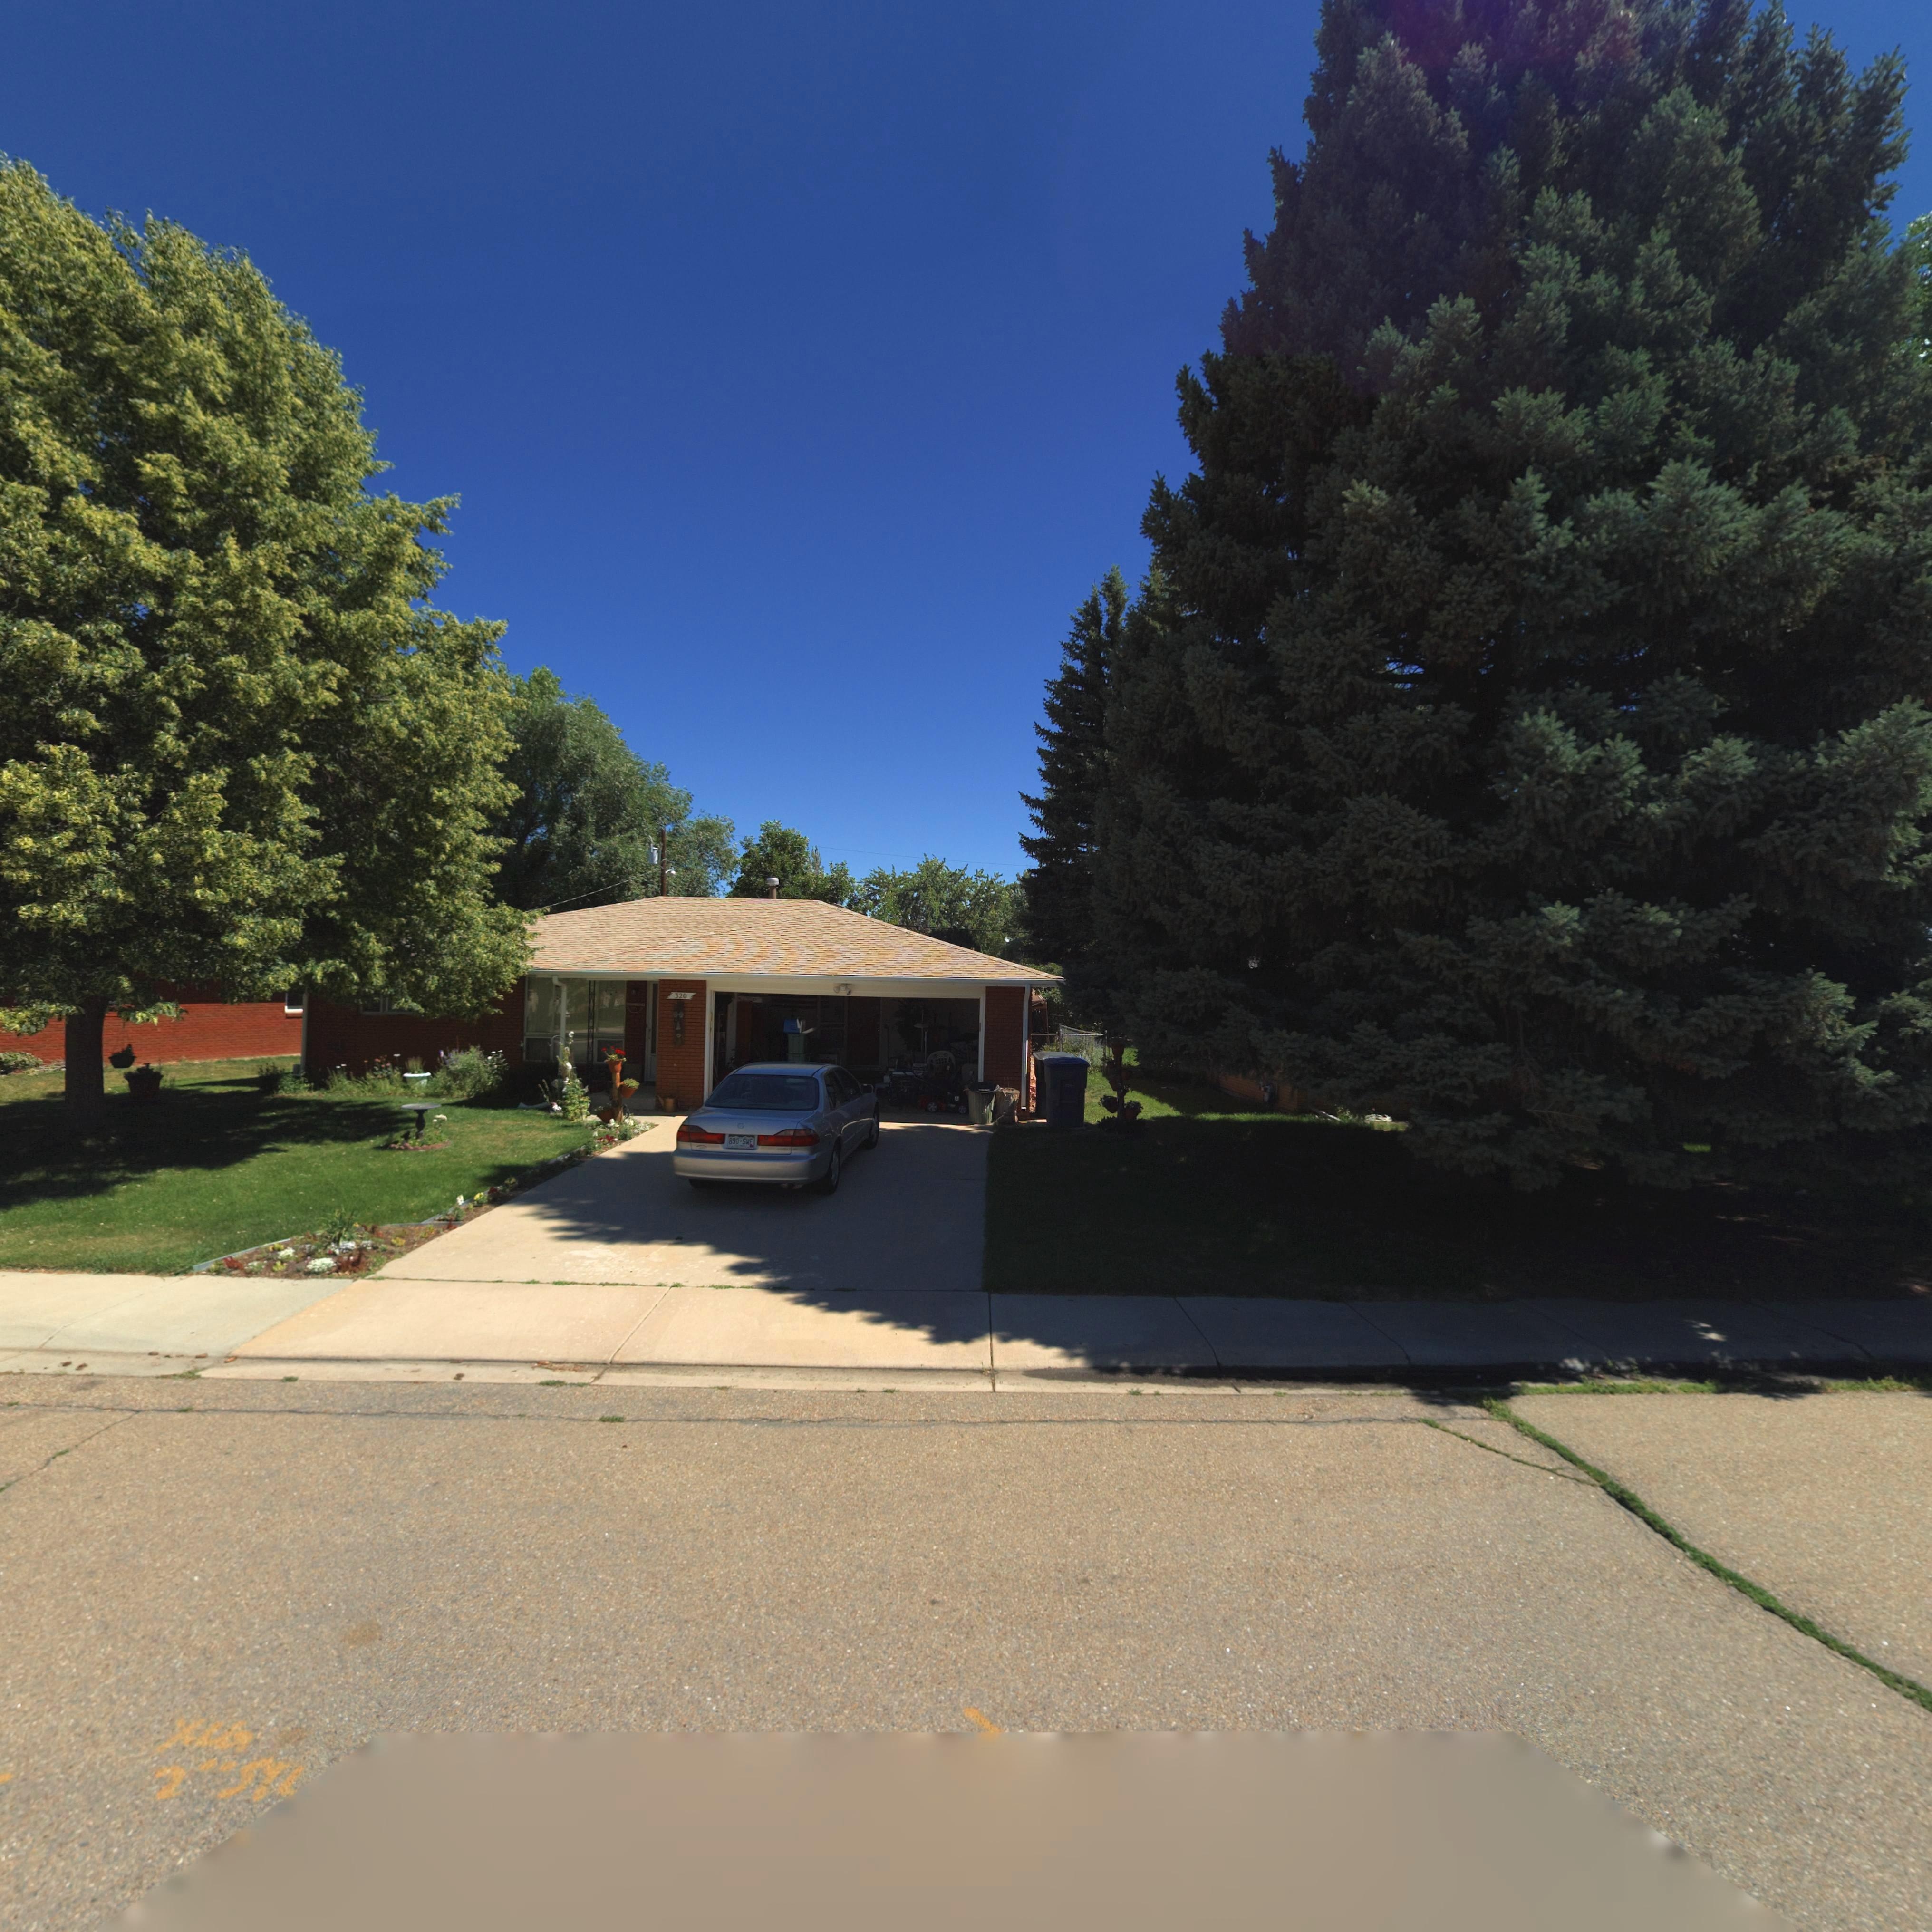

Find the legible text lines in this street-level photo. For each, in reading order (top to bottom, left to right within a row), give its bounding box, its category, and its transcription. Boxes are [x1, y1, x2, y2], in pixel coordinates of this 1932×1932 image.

[675, 993, 687, 998] StreetNumber: 320